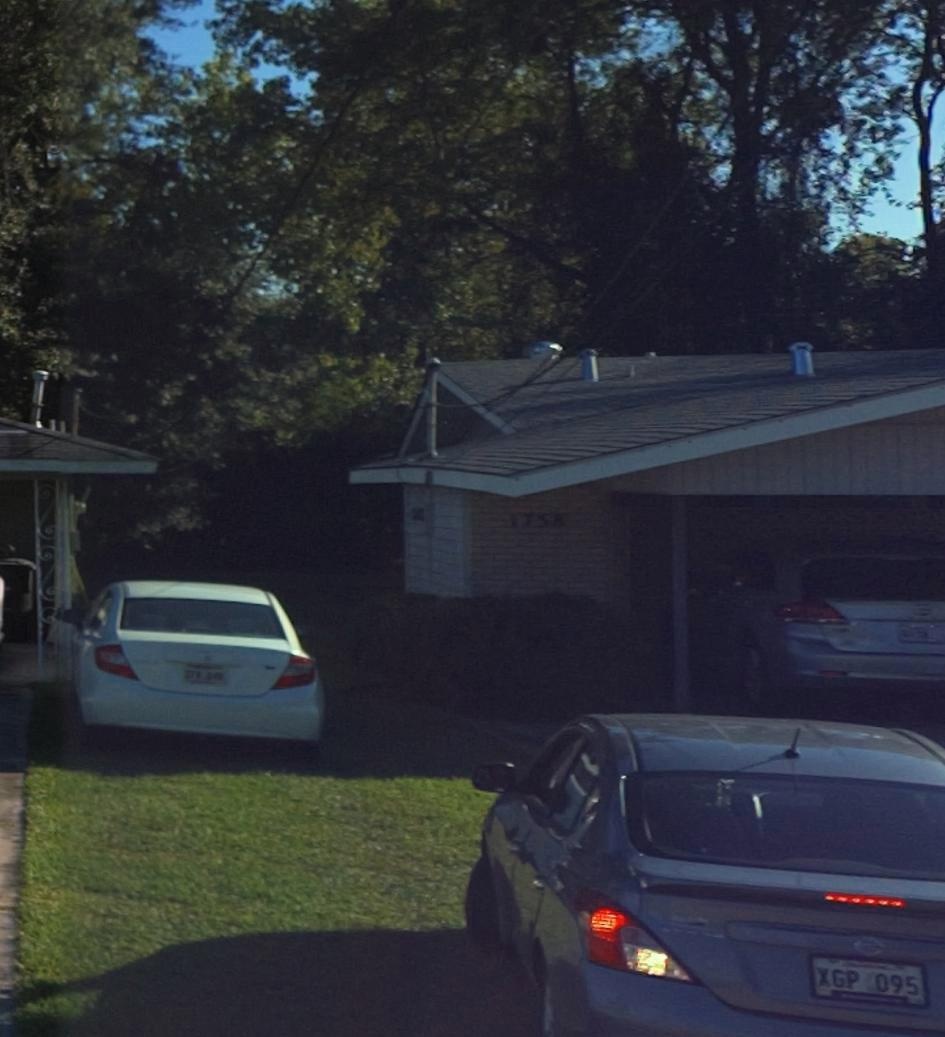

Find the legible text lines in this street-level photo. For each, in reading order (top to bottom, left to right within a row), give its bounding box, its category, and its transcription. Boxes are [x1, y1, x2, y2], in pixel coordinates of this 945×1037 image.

[509, 510, 567, 530] StreetNumber: 1758
[815, 964, 923, 1000] None: XGP*095